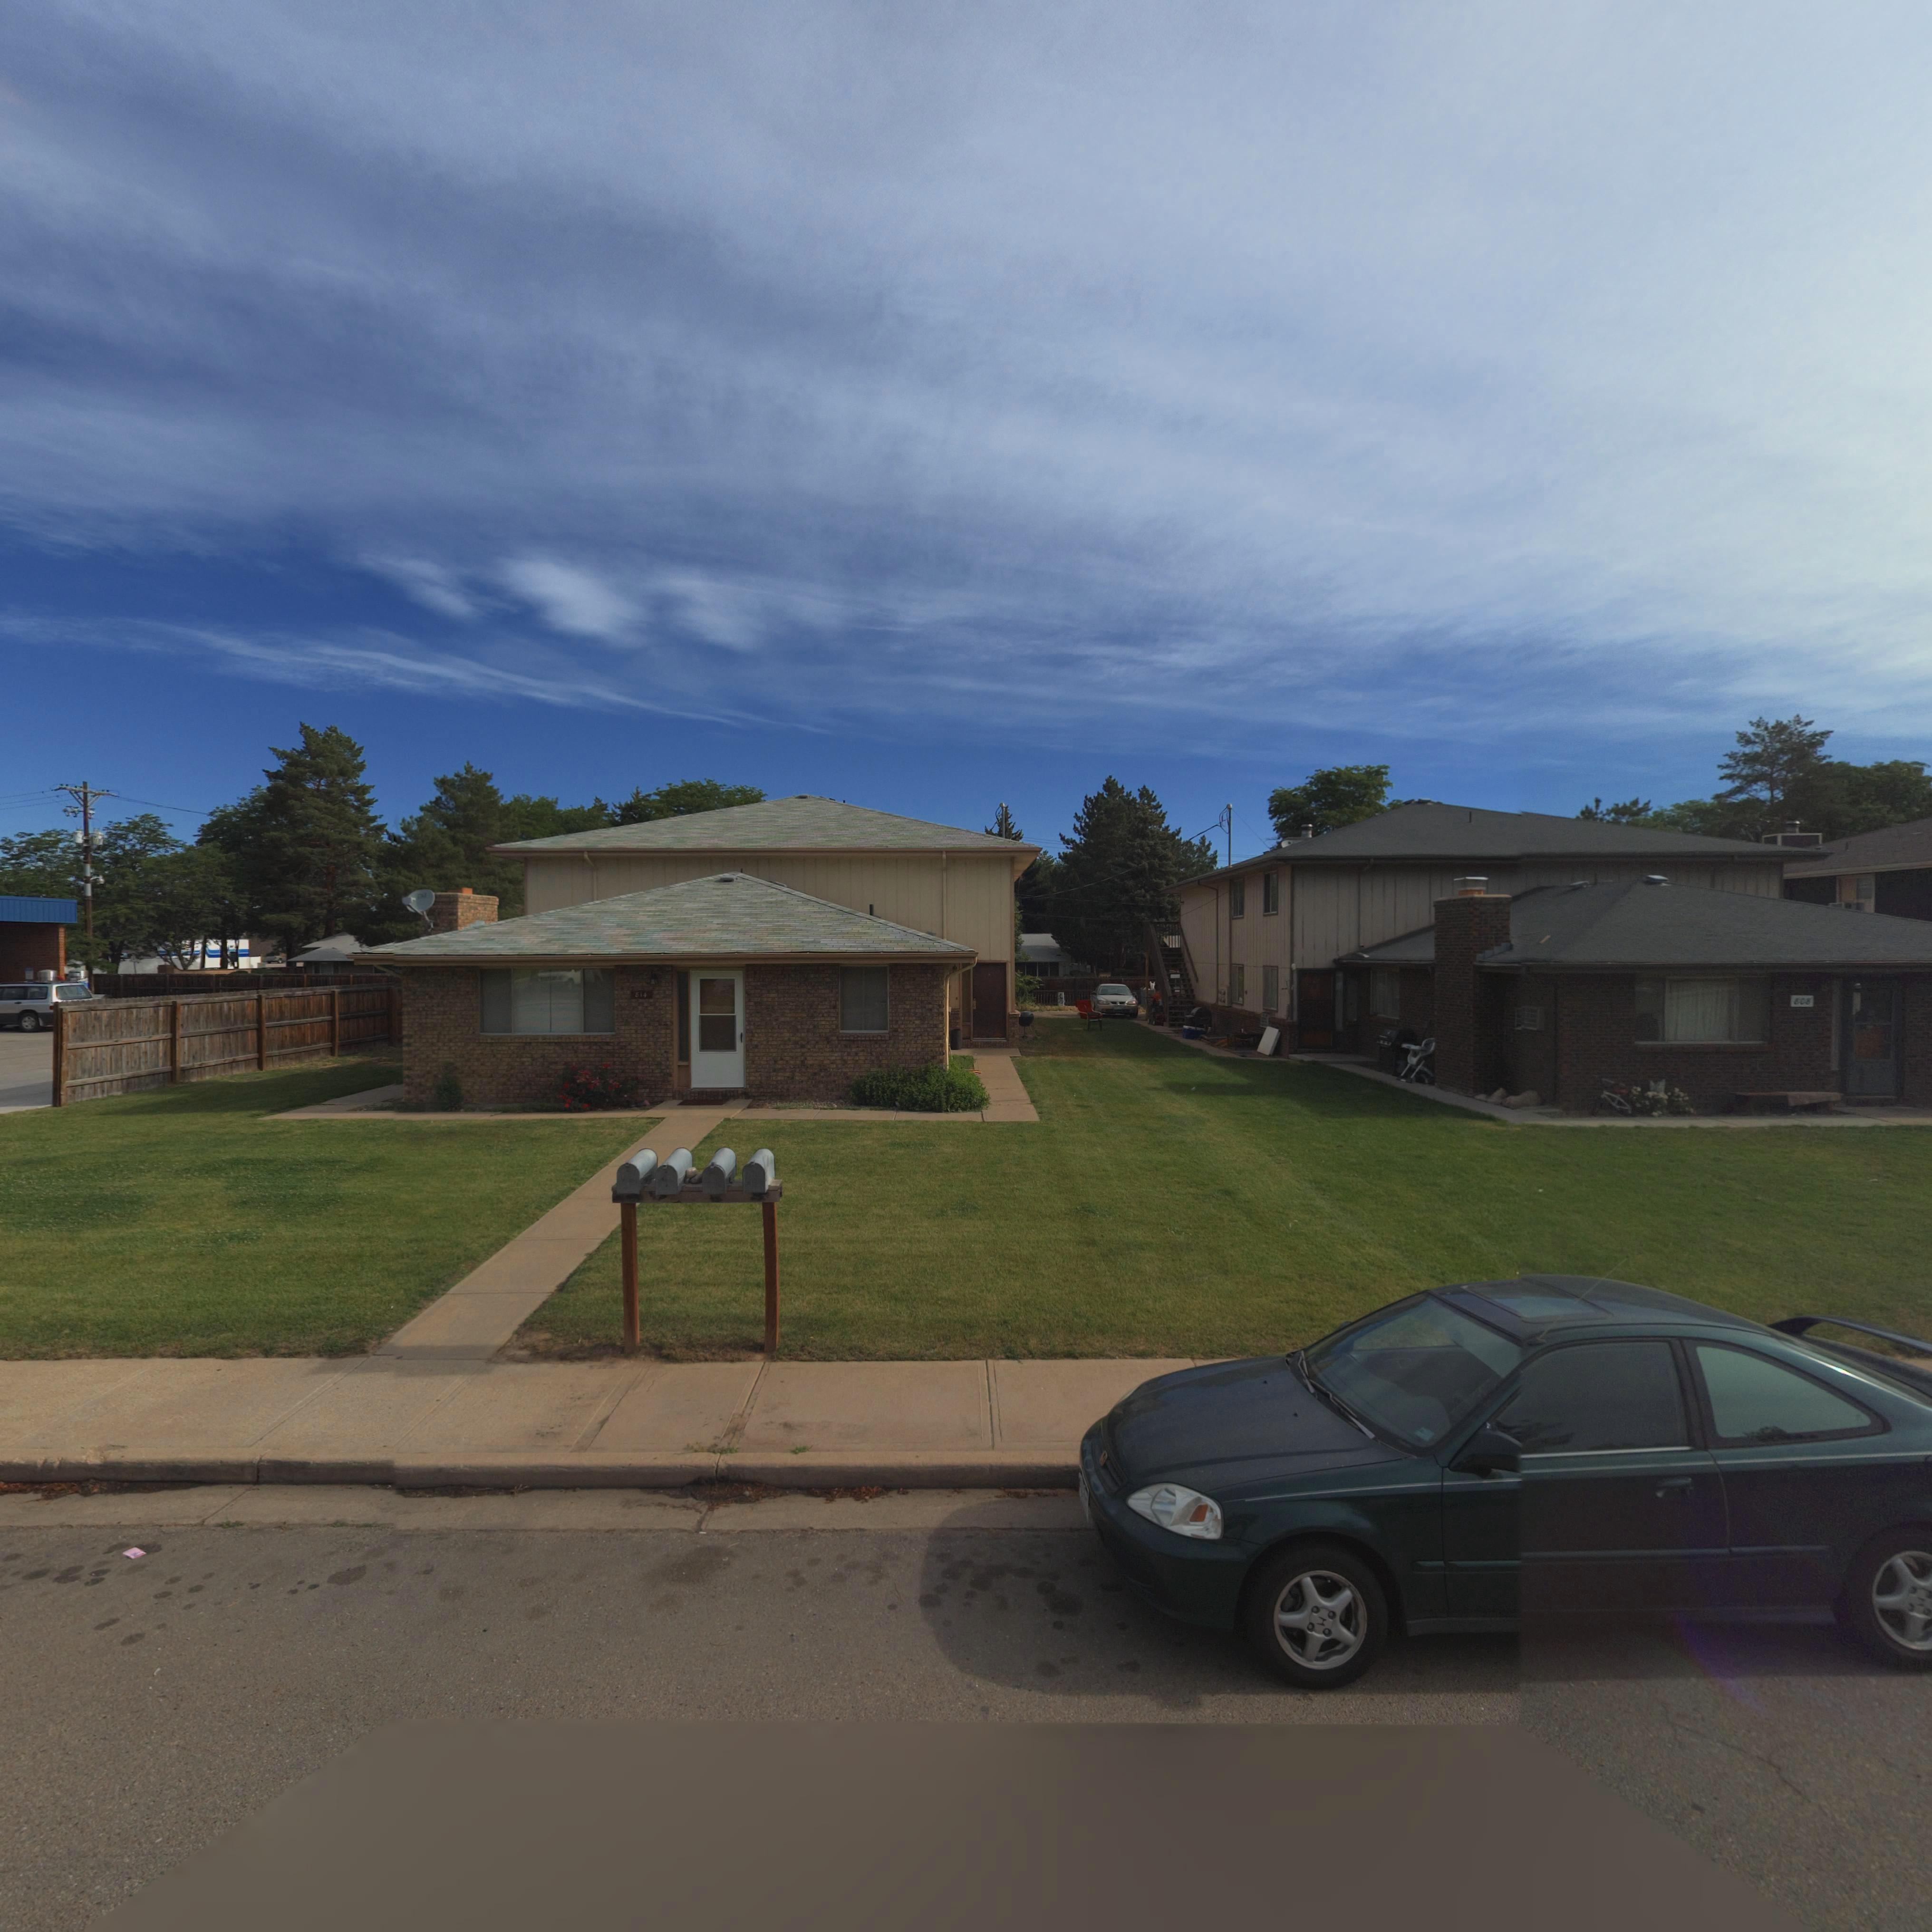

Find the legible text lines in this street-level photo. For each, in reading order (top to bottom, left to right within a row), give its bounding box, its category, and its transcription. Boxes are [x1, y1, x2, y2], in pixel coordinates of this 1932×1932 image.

[635, 992, 647, 997] StreetNumber: 814
[1794, 997, 1811, 1005] StreetNumber: 808